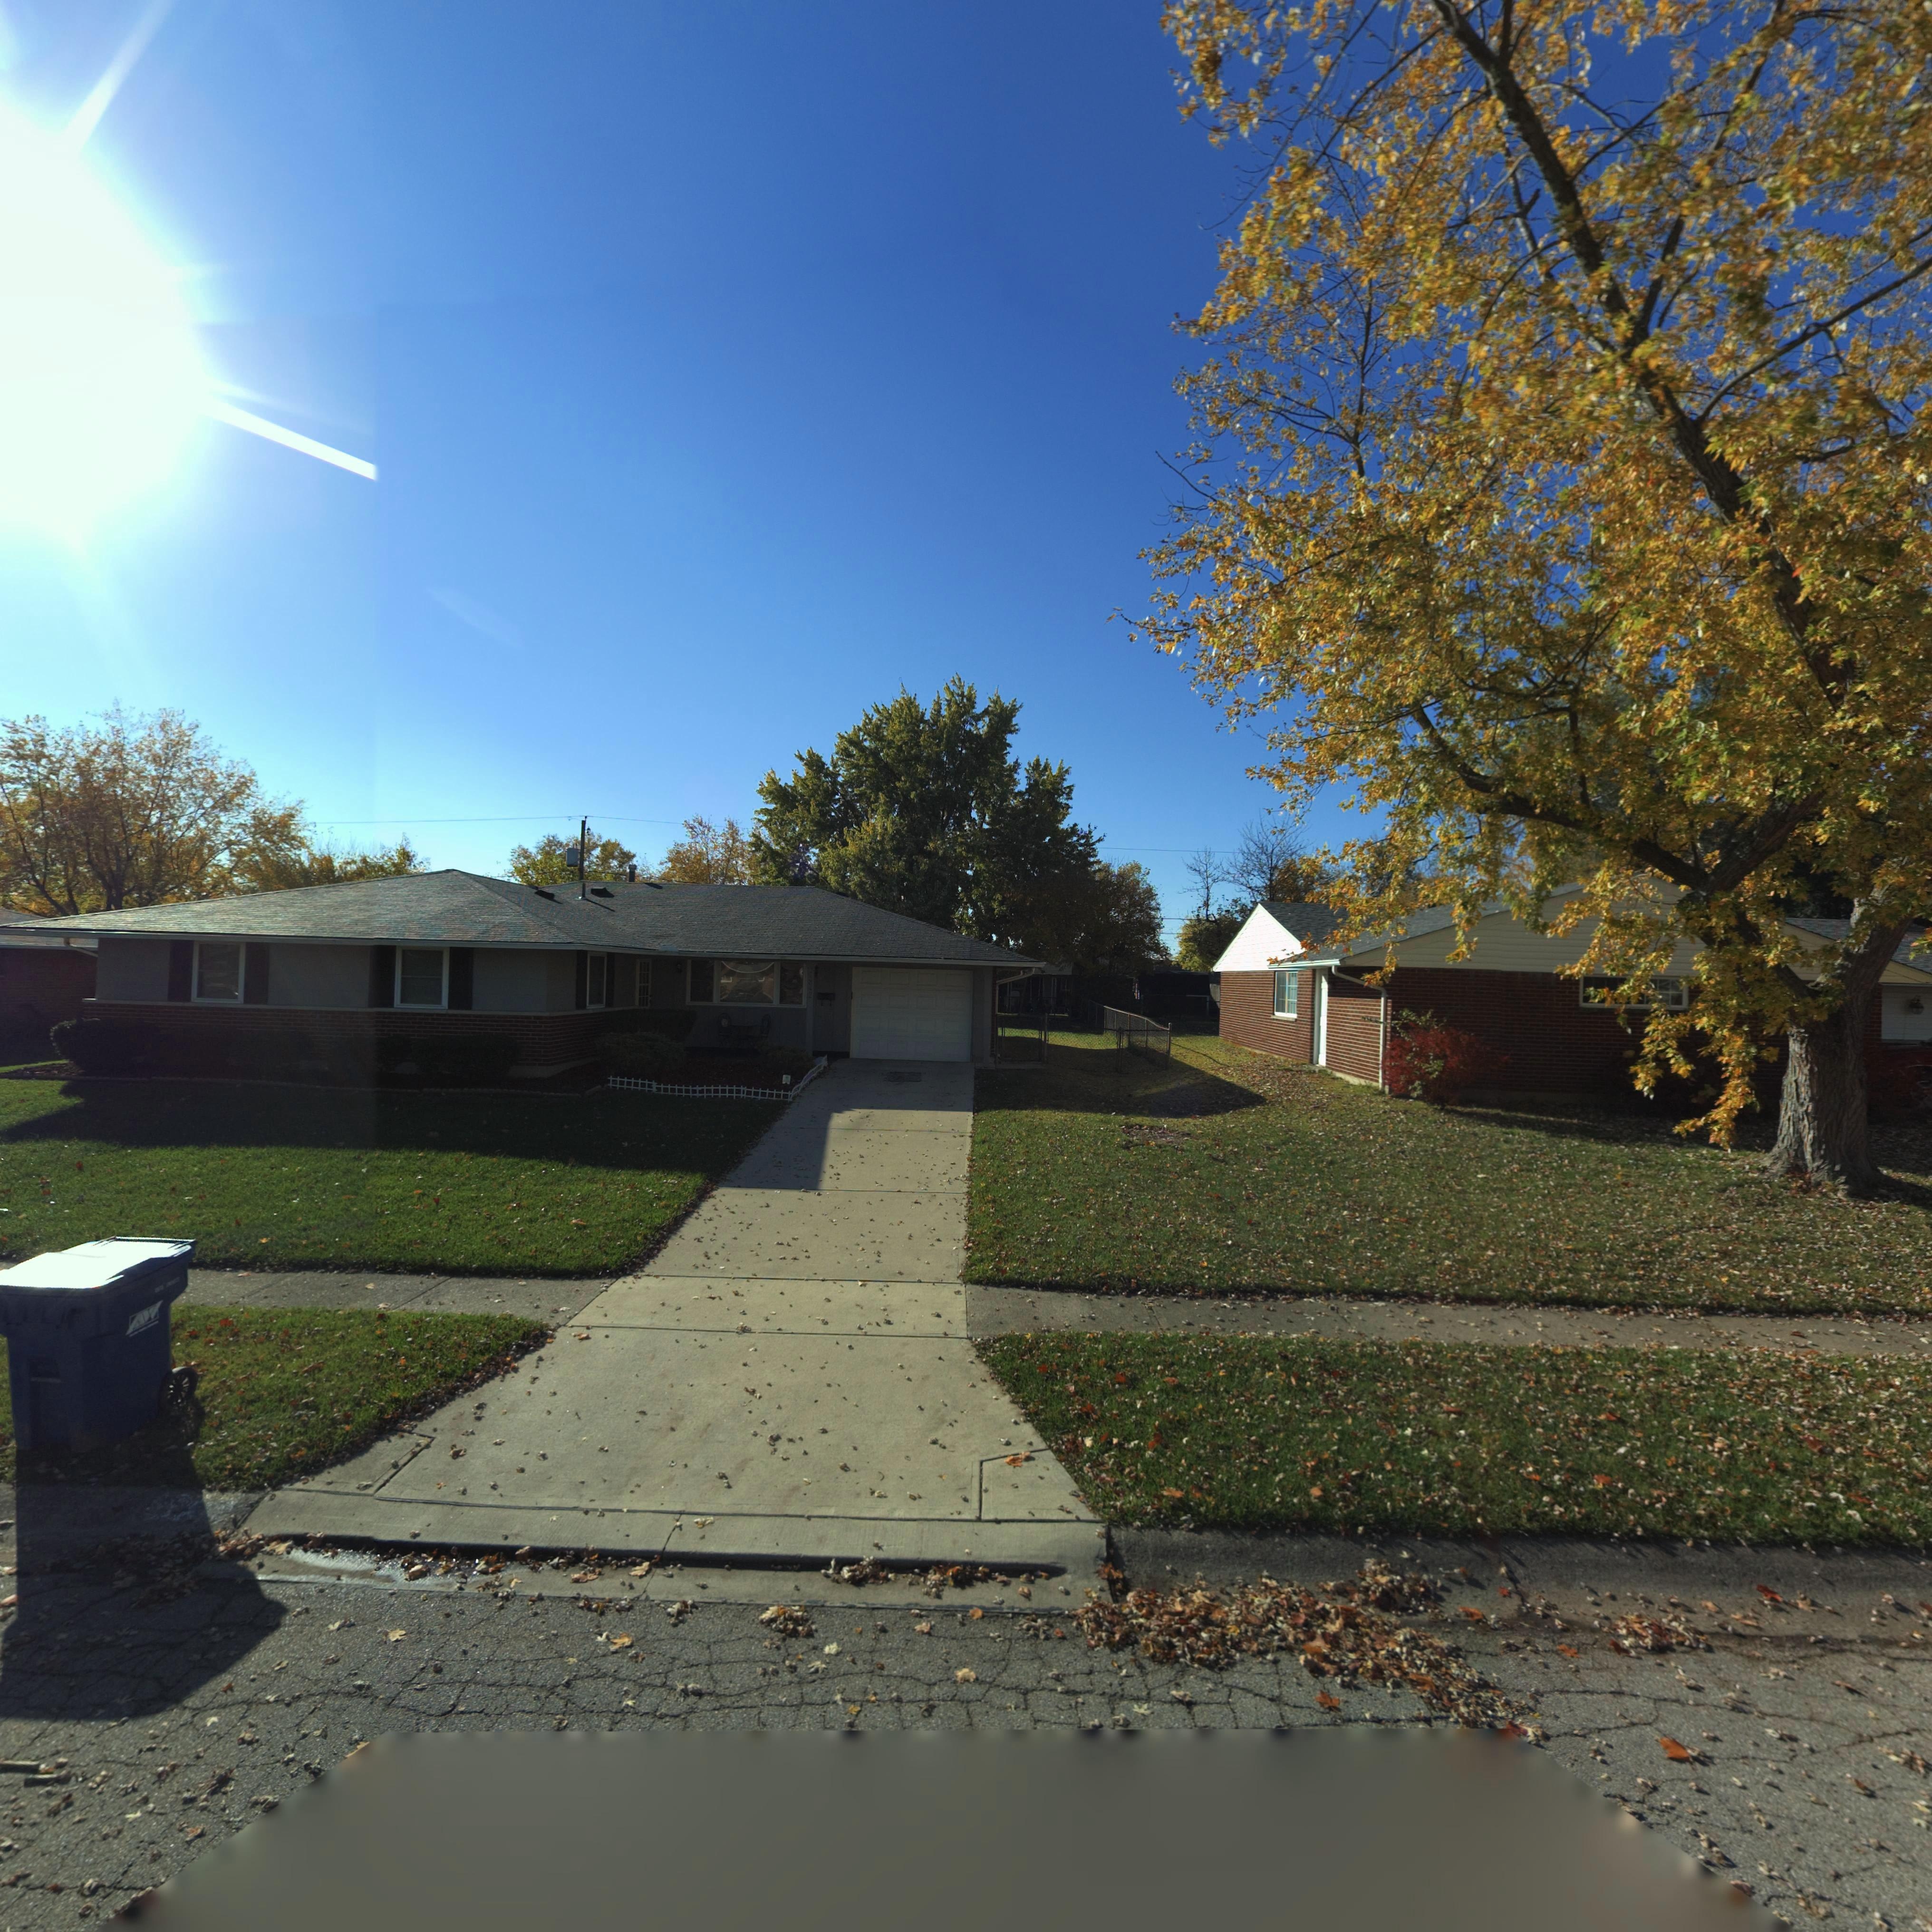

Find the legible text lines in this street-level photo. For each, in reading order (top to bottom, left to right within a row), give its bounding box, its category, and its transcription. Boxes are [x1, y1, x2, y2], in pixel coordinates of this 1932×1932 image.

[807, 970, 813, 999] StreetNumber: 7842